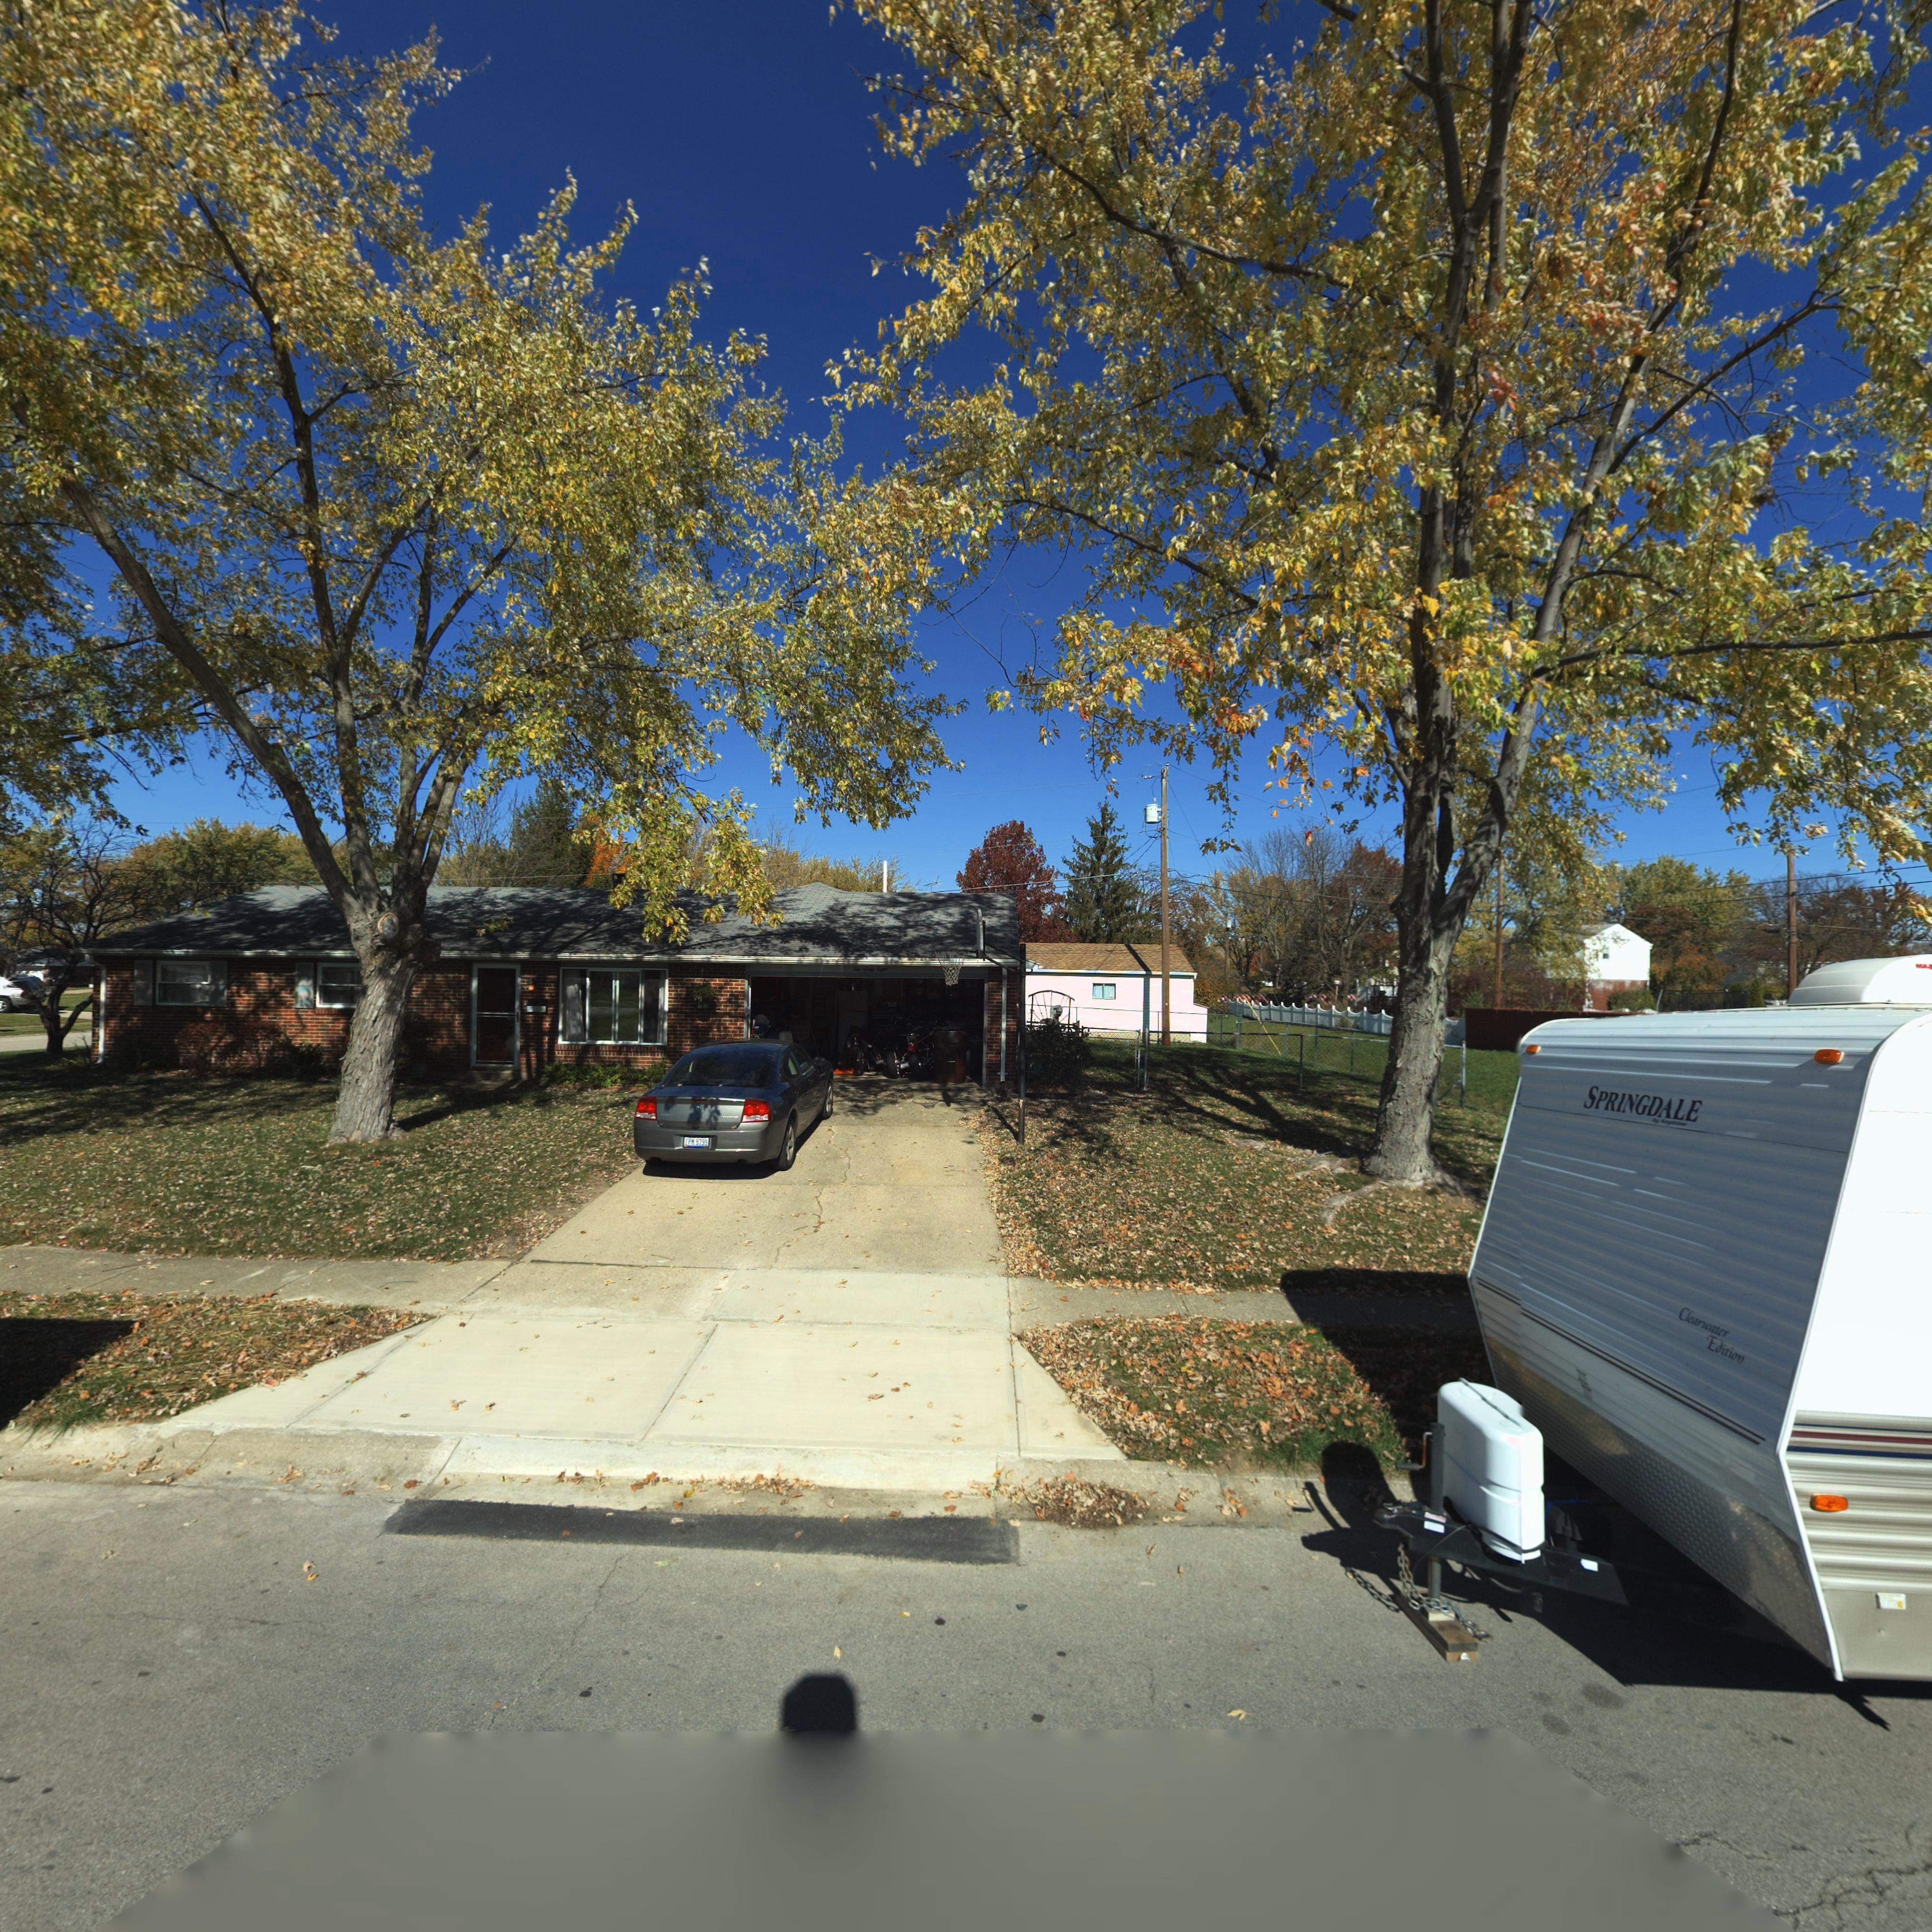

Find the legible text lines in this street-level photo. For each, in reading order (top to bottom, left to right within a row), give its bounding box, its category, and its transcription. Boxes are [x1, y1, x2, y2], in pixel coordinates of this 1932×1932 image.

[851, 966, 889, 972] StreetNumber: Two Sixty Eight